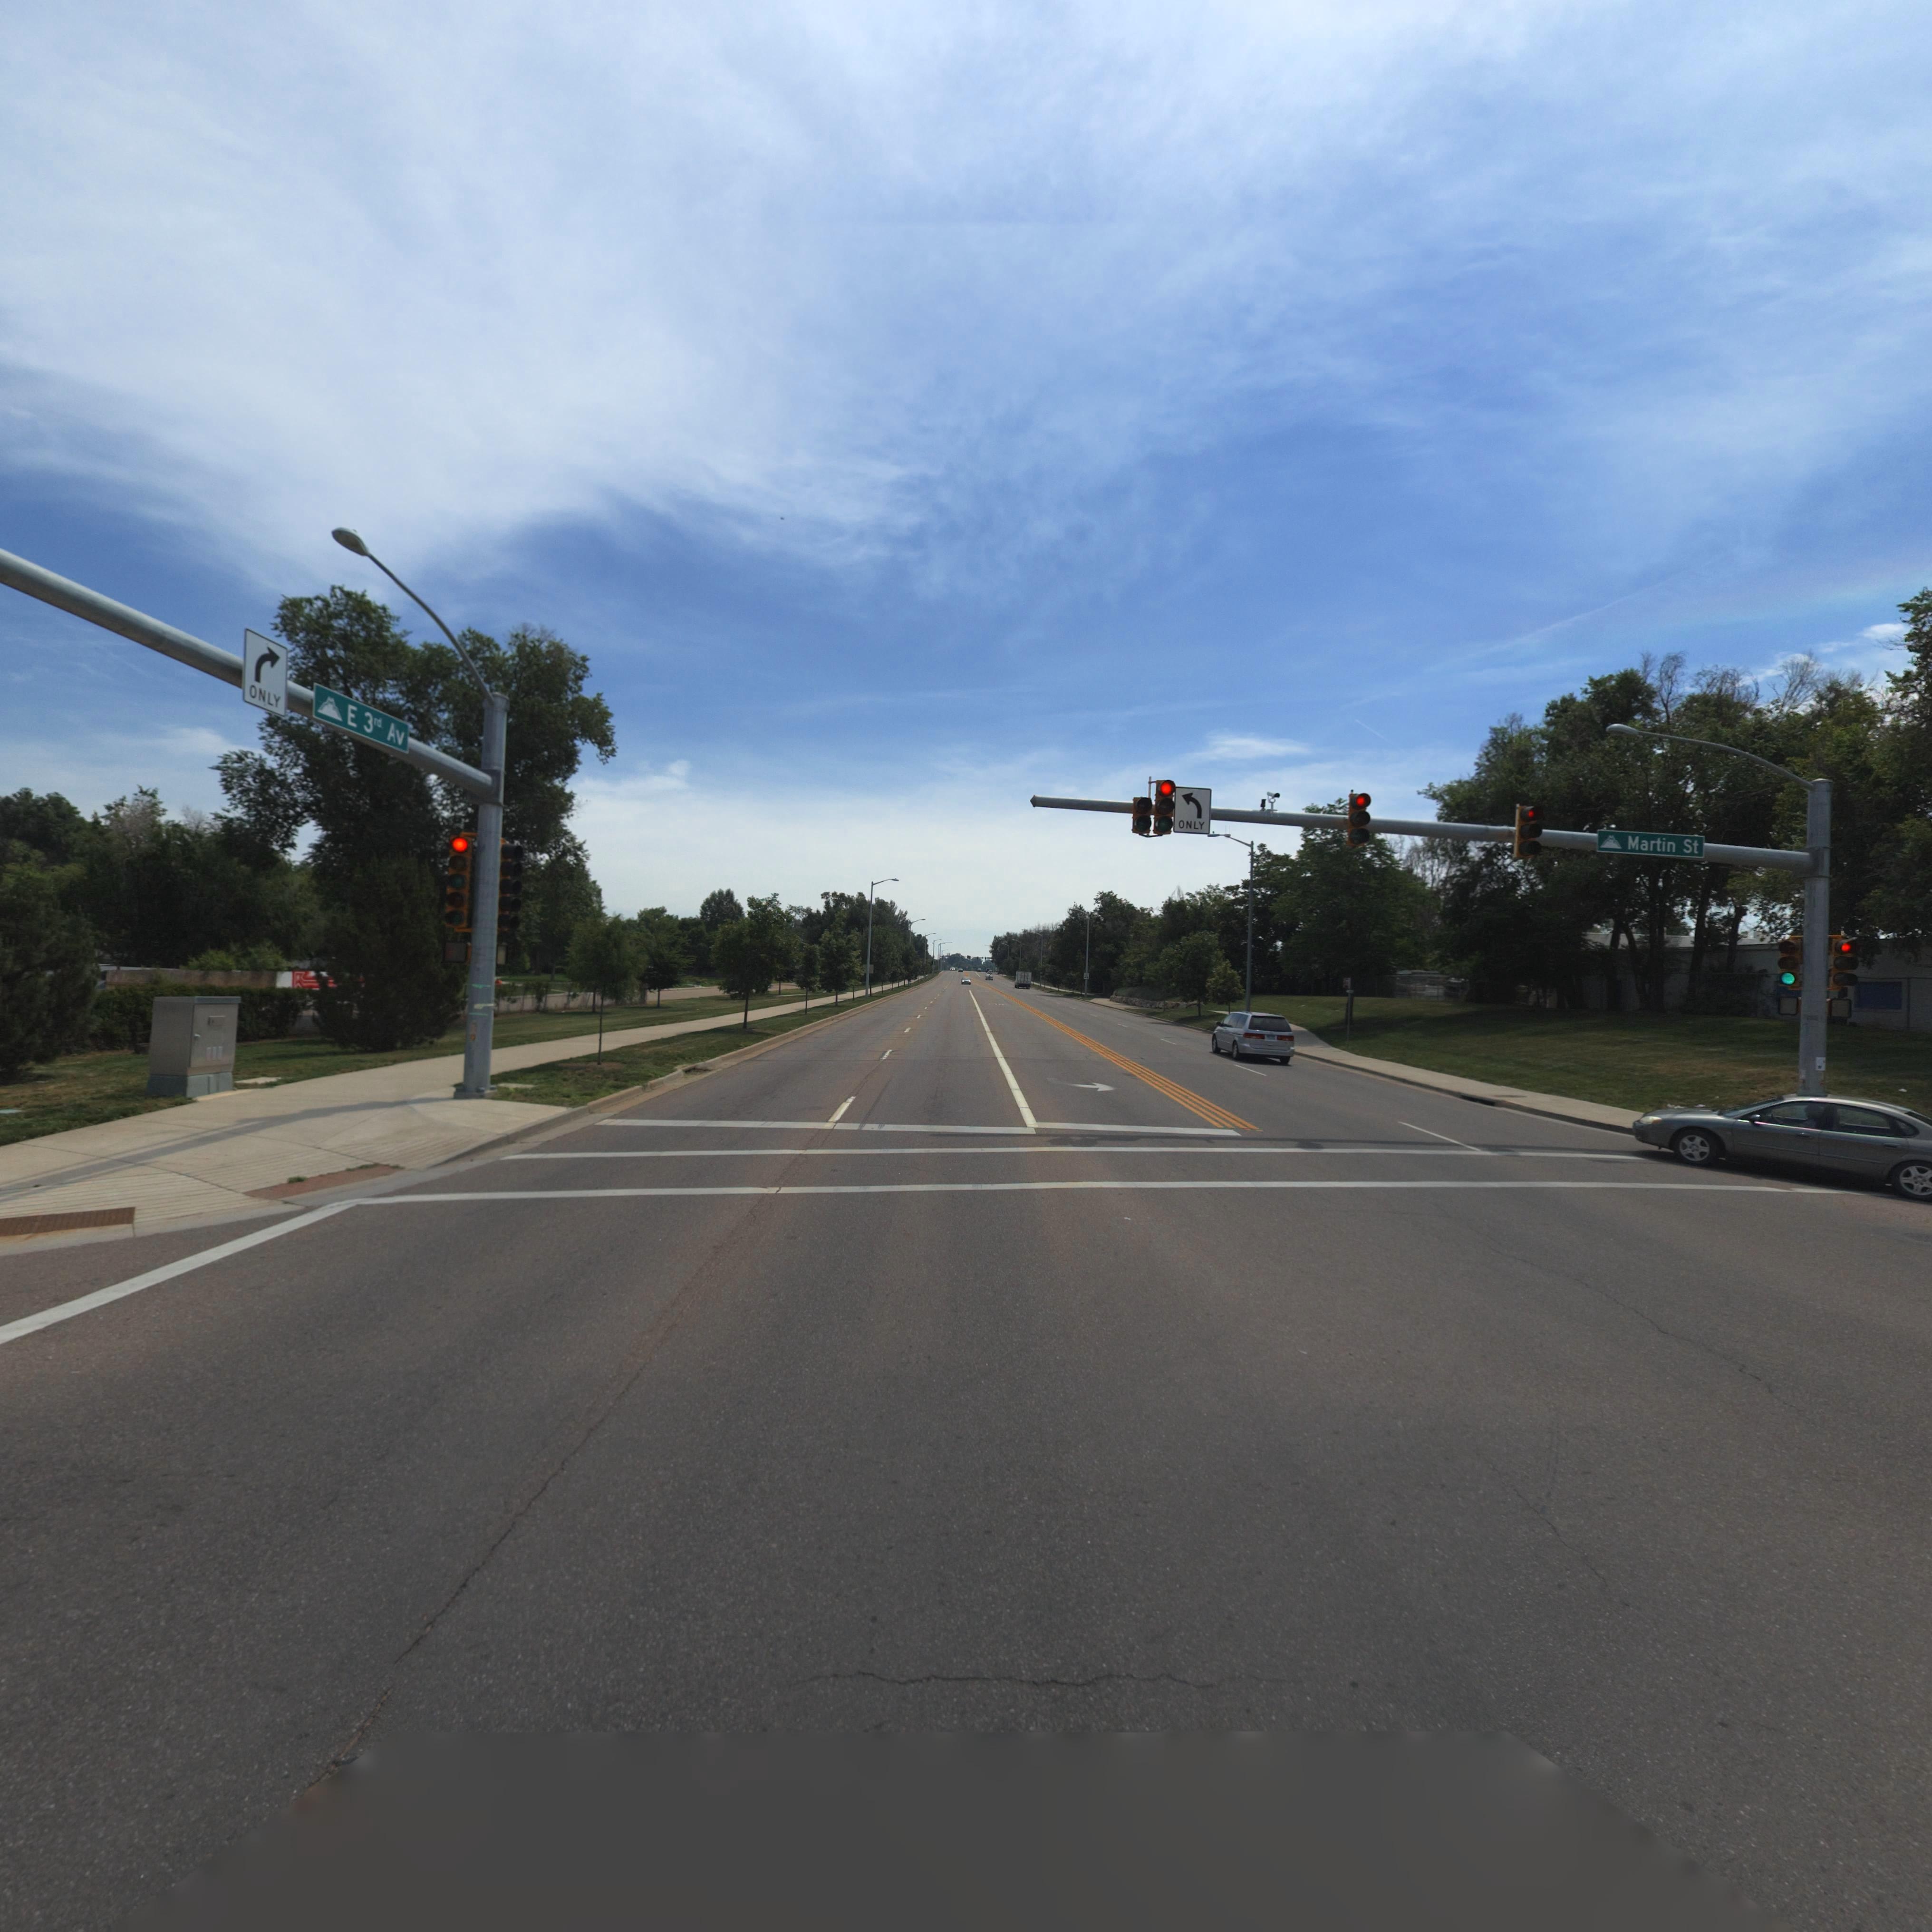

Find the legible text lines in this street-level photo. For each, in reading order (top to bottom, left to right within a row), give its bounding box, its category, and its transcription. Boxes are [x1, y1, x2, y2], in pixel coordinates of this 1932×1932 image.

[344, 701, 406, 748] StreetName: E 3rd Av
[1625, 834, 1702, 854] StreetName: Martin St